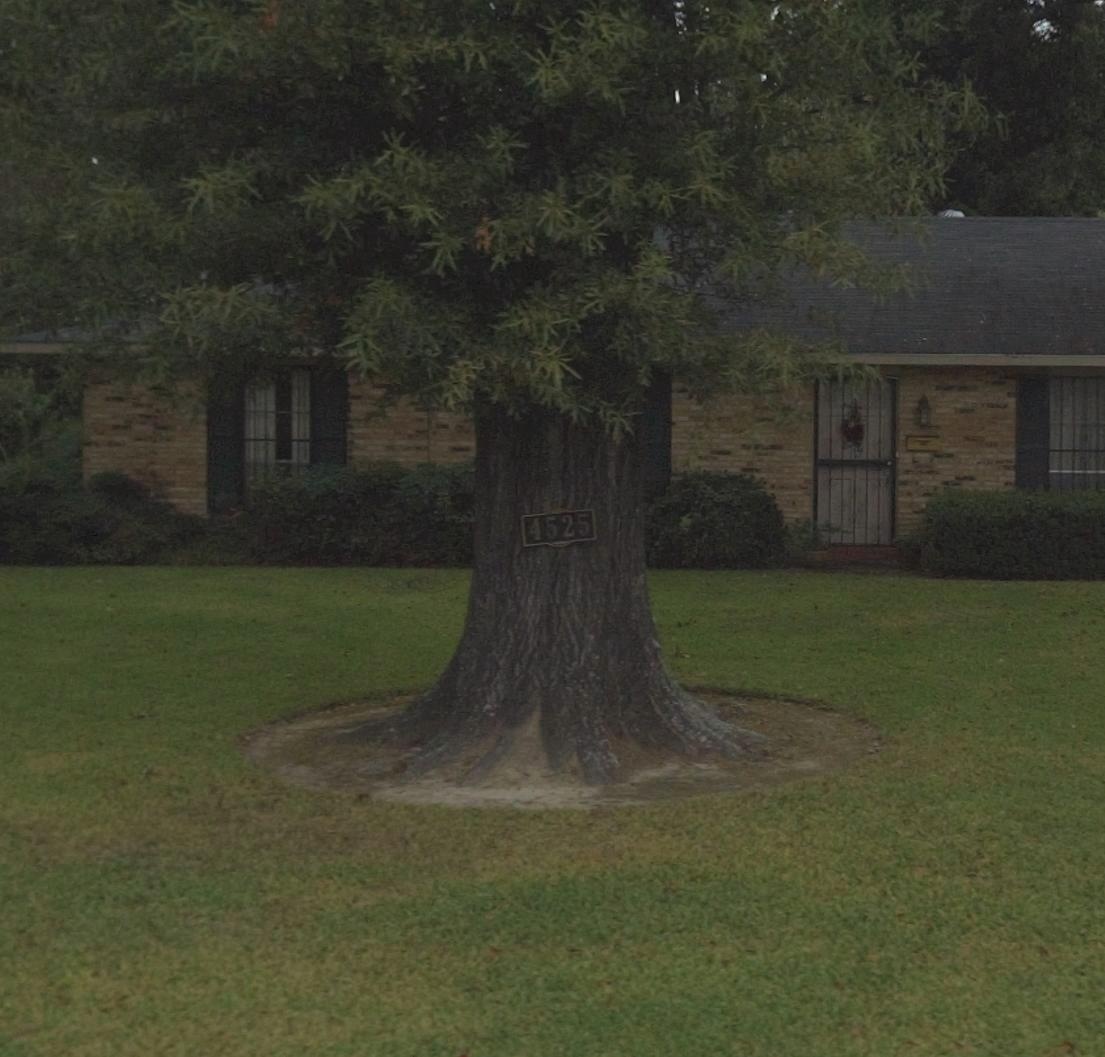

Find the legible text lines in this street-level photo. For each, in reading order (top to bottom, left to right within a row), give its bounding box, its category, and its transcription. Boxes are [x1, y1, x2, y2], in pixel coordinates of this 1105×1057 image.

[528, 512, 591, 542] StreetNumber: 4525